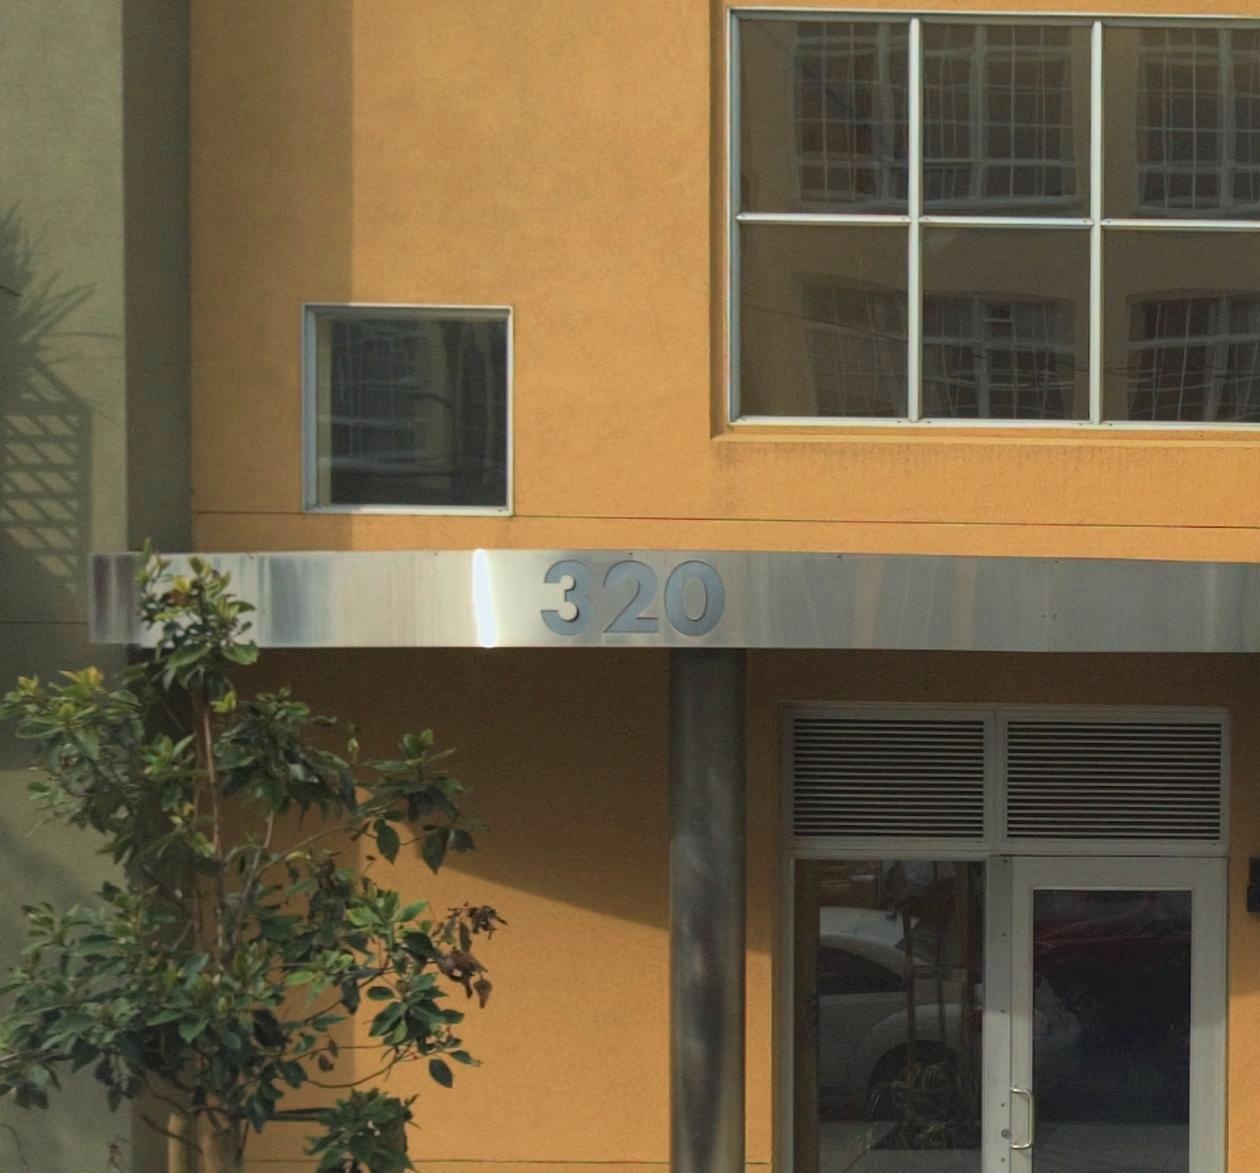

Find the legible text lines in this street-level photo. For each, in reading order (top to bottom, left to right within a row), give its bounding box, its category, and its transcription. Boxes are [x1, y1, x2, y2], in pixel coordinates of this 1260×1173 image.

[539, 558, 728, 639] StreetNumber: 320